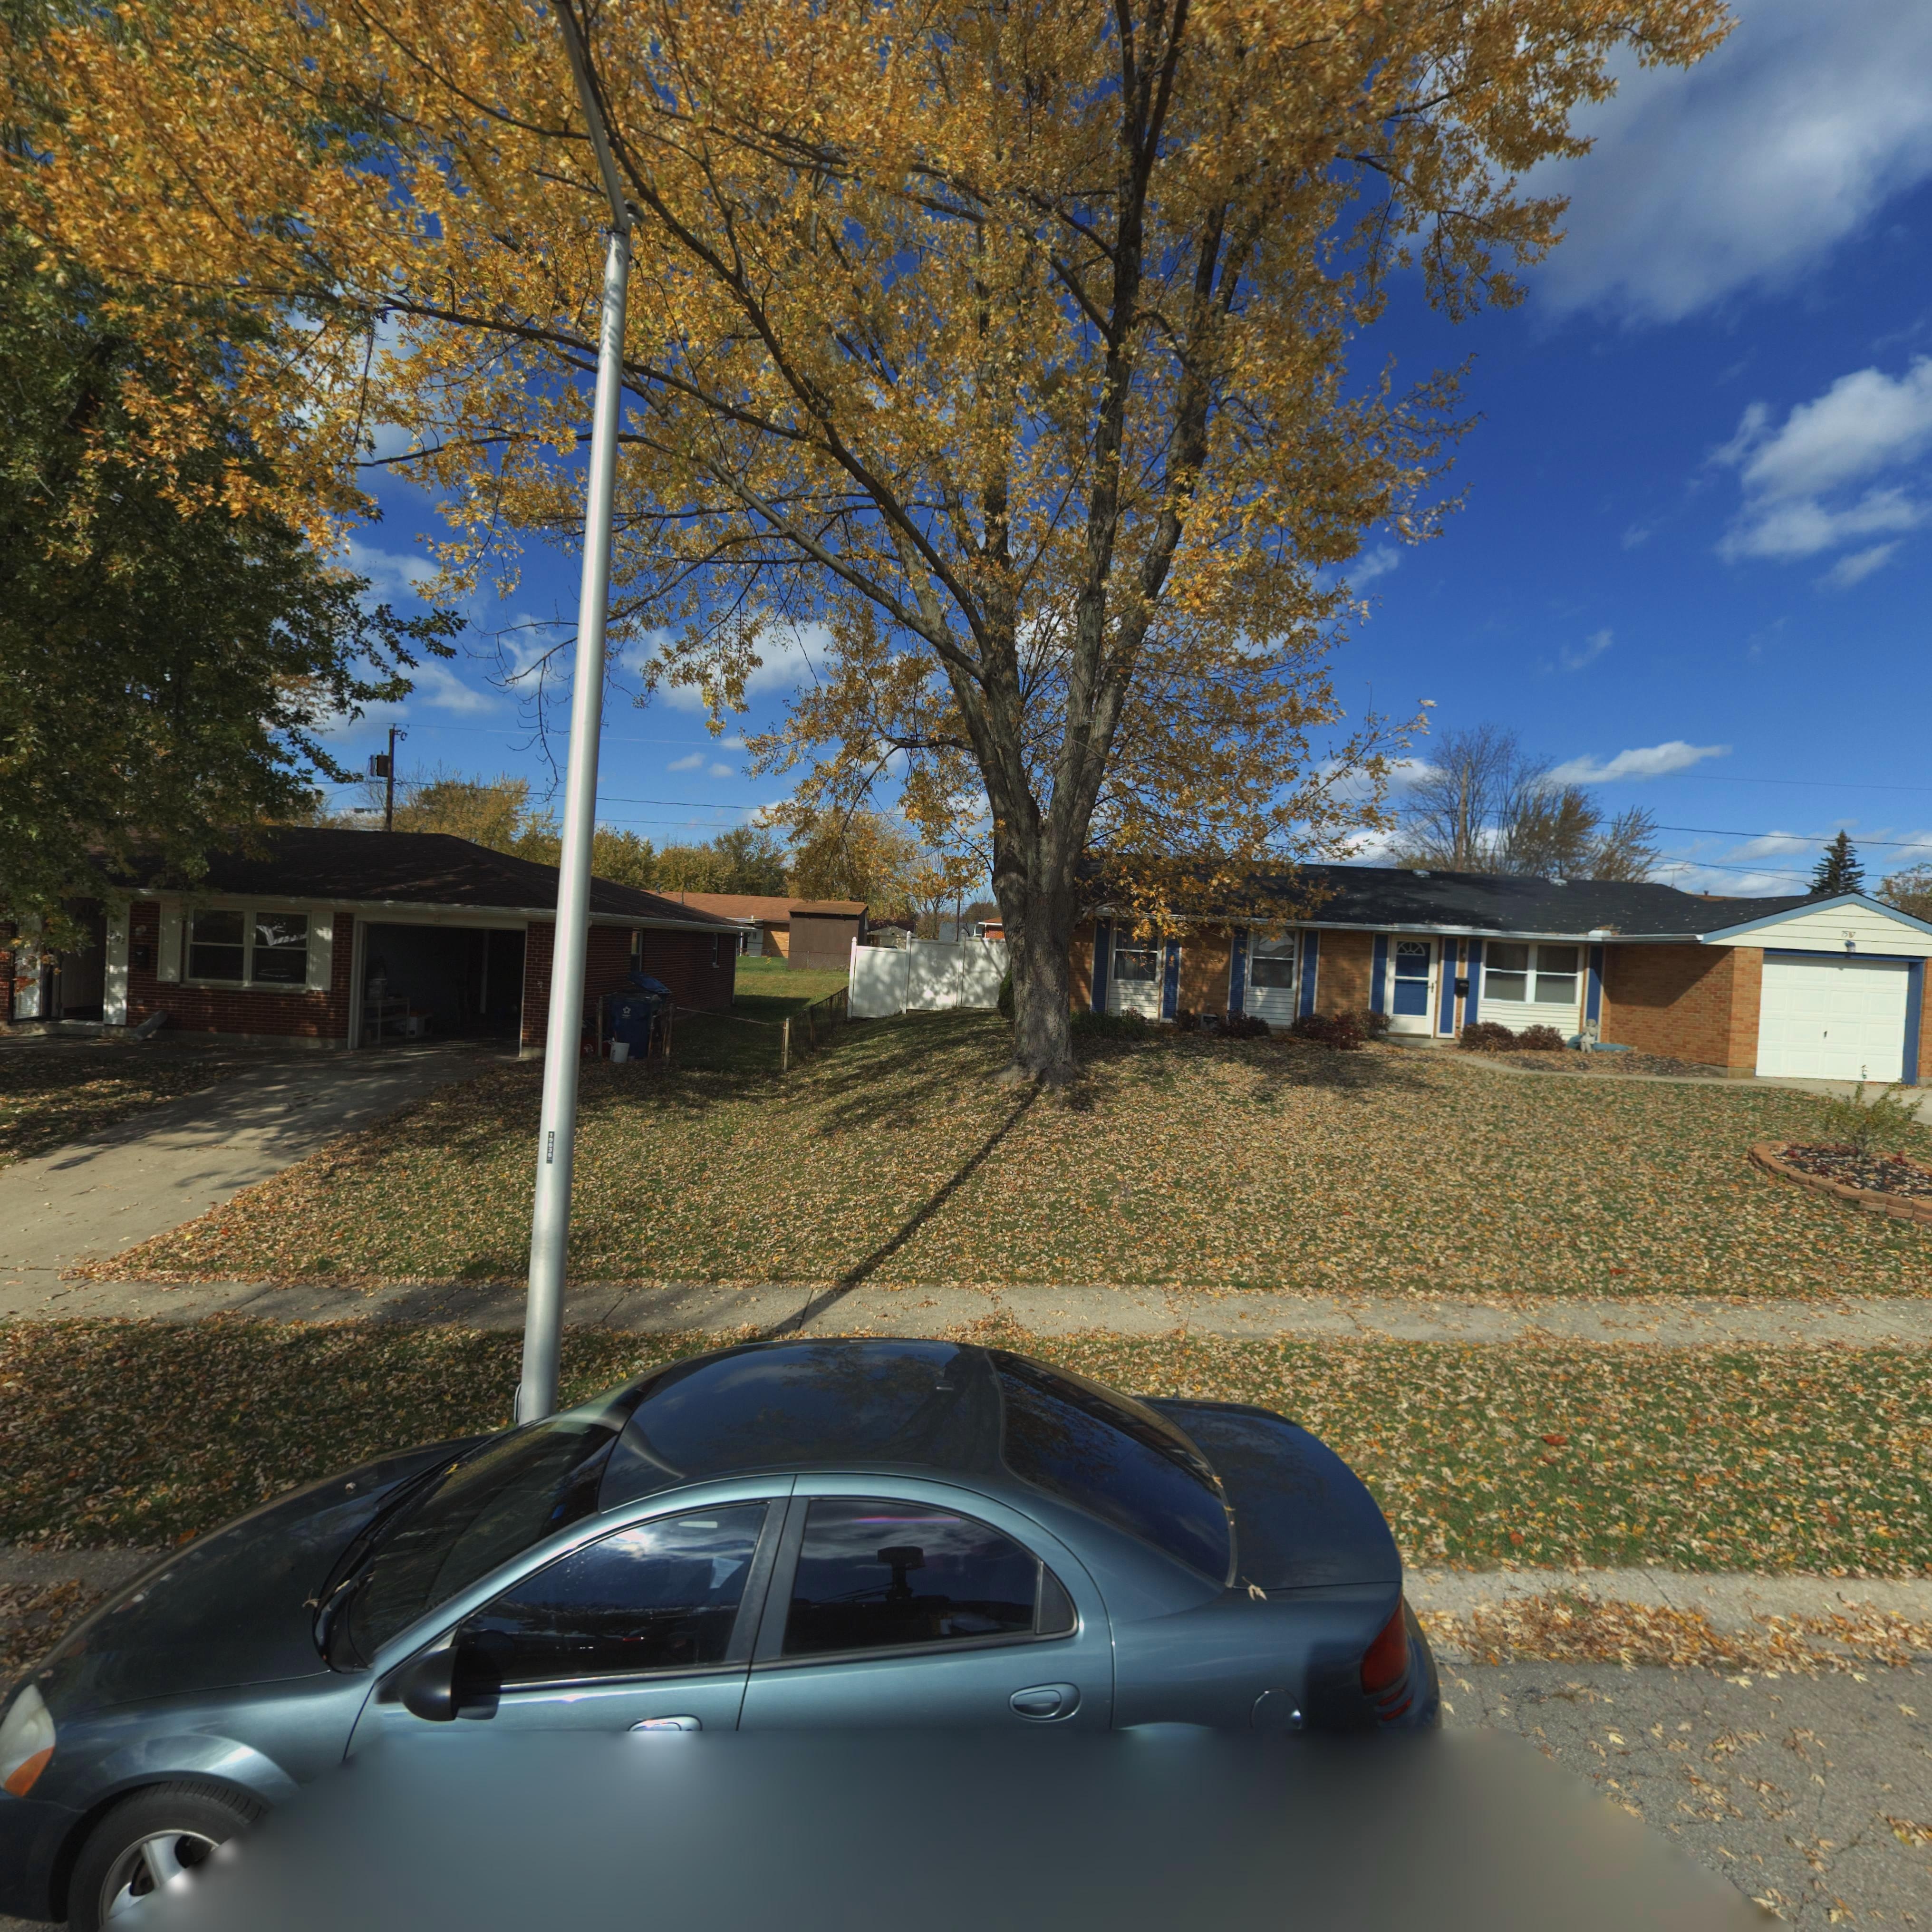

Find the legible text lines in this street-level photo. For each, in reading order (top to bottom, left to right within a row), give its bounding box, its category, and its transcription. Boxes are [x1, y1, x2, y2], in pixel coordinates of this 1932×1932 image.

[108, 929, 126, 945] StreetNumber: 7577
[1841, 930, 1857, 938] StreetNumber: 75*7